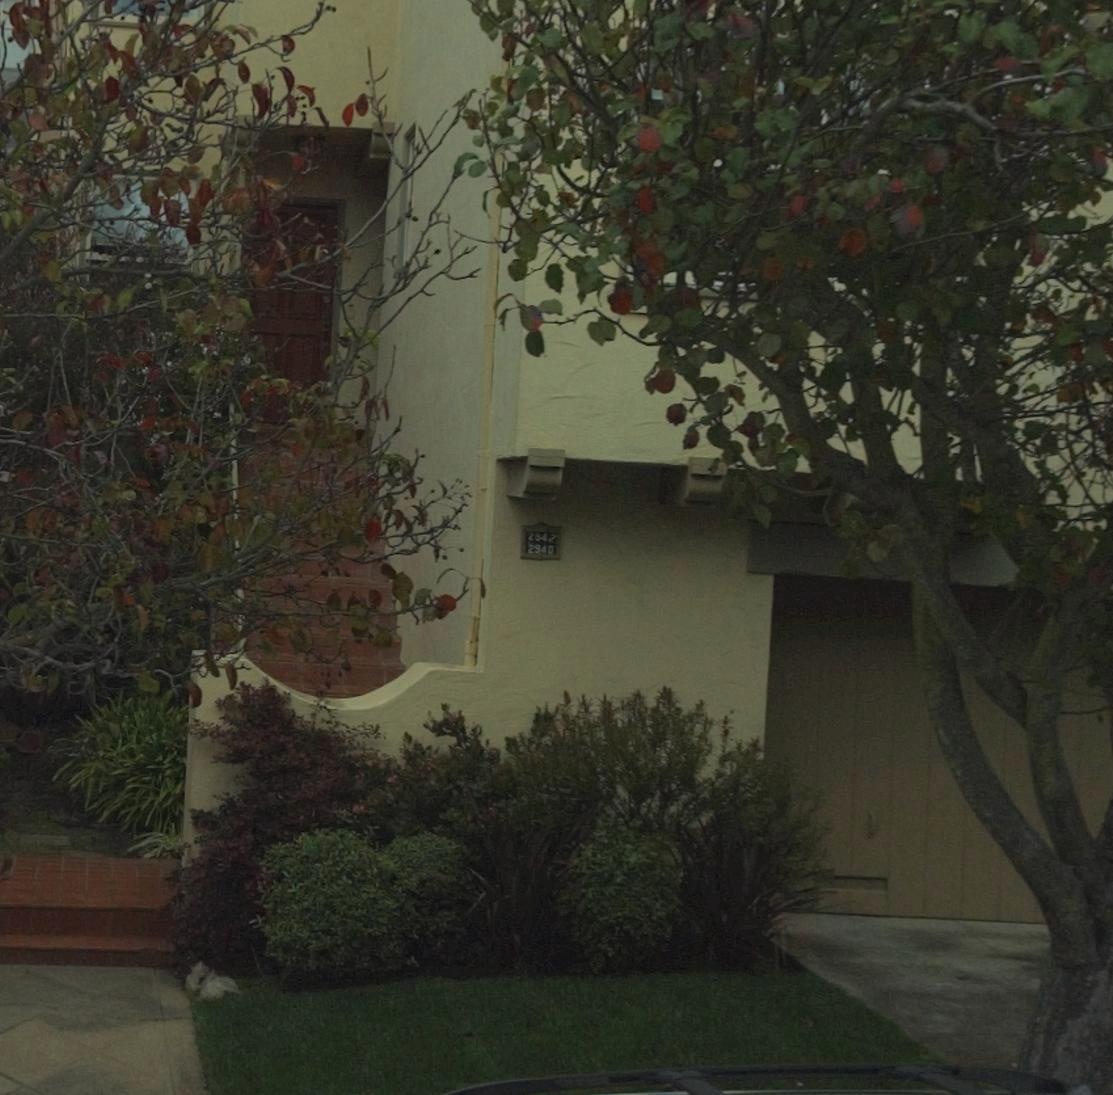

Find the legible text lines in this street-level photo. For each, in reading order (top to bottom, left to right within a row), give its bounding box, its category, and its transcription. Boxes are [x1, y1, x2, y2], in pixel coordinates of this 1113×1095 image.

[527, 531, 558, 544] StreetNumber: **4*
[526, 543, 557, 556] StreetNumber: 2940